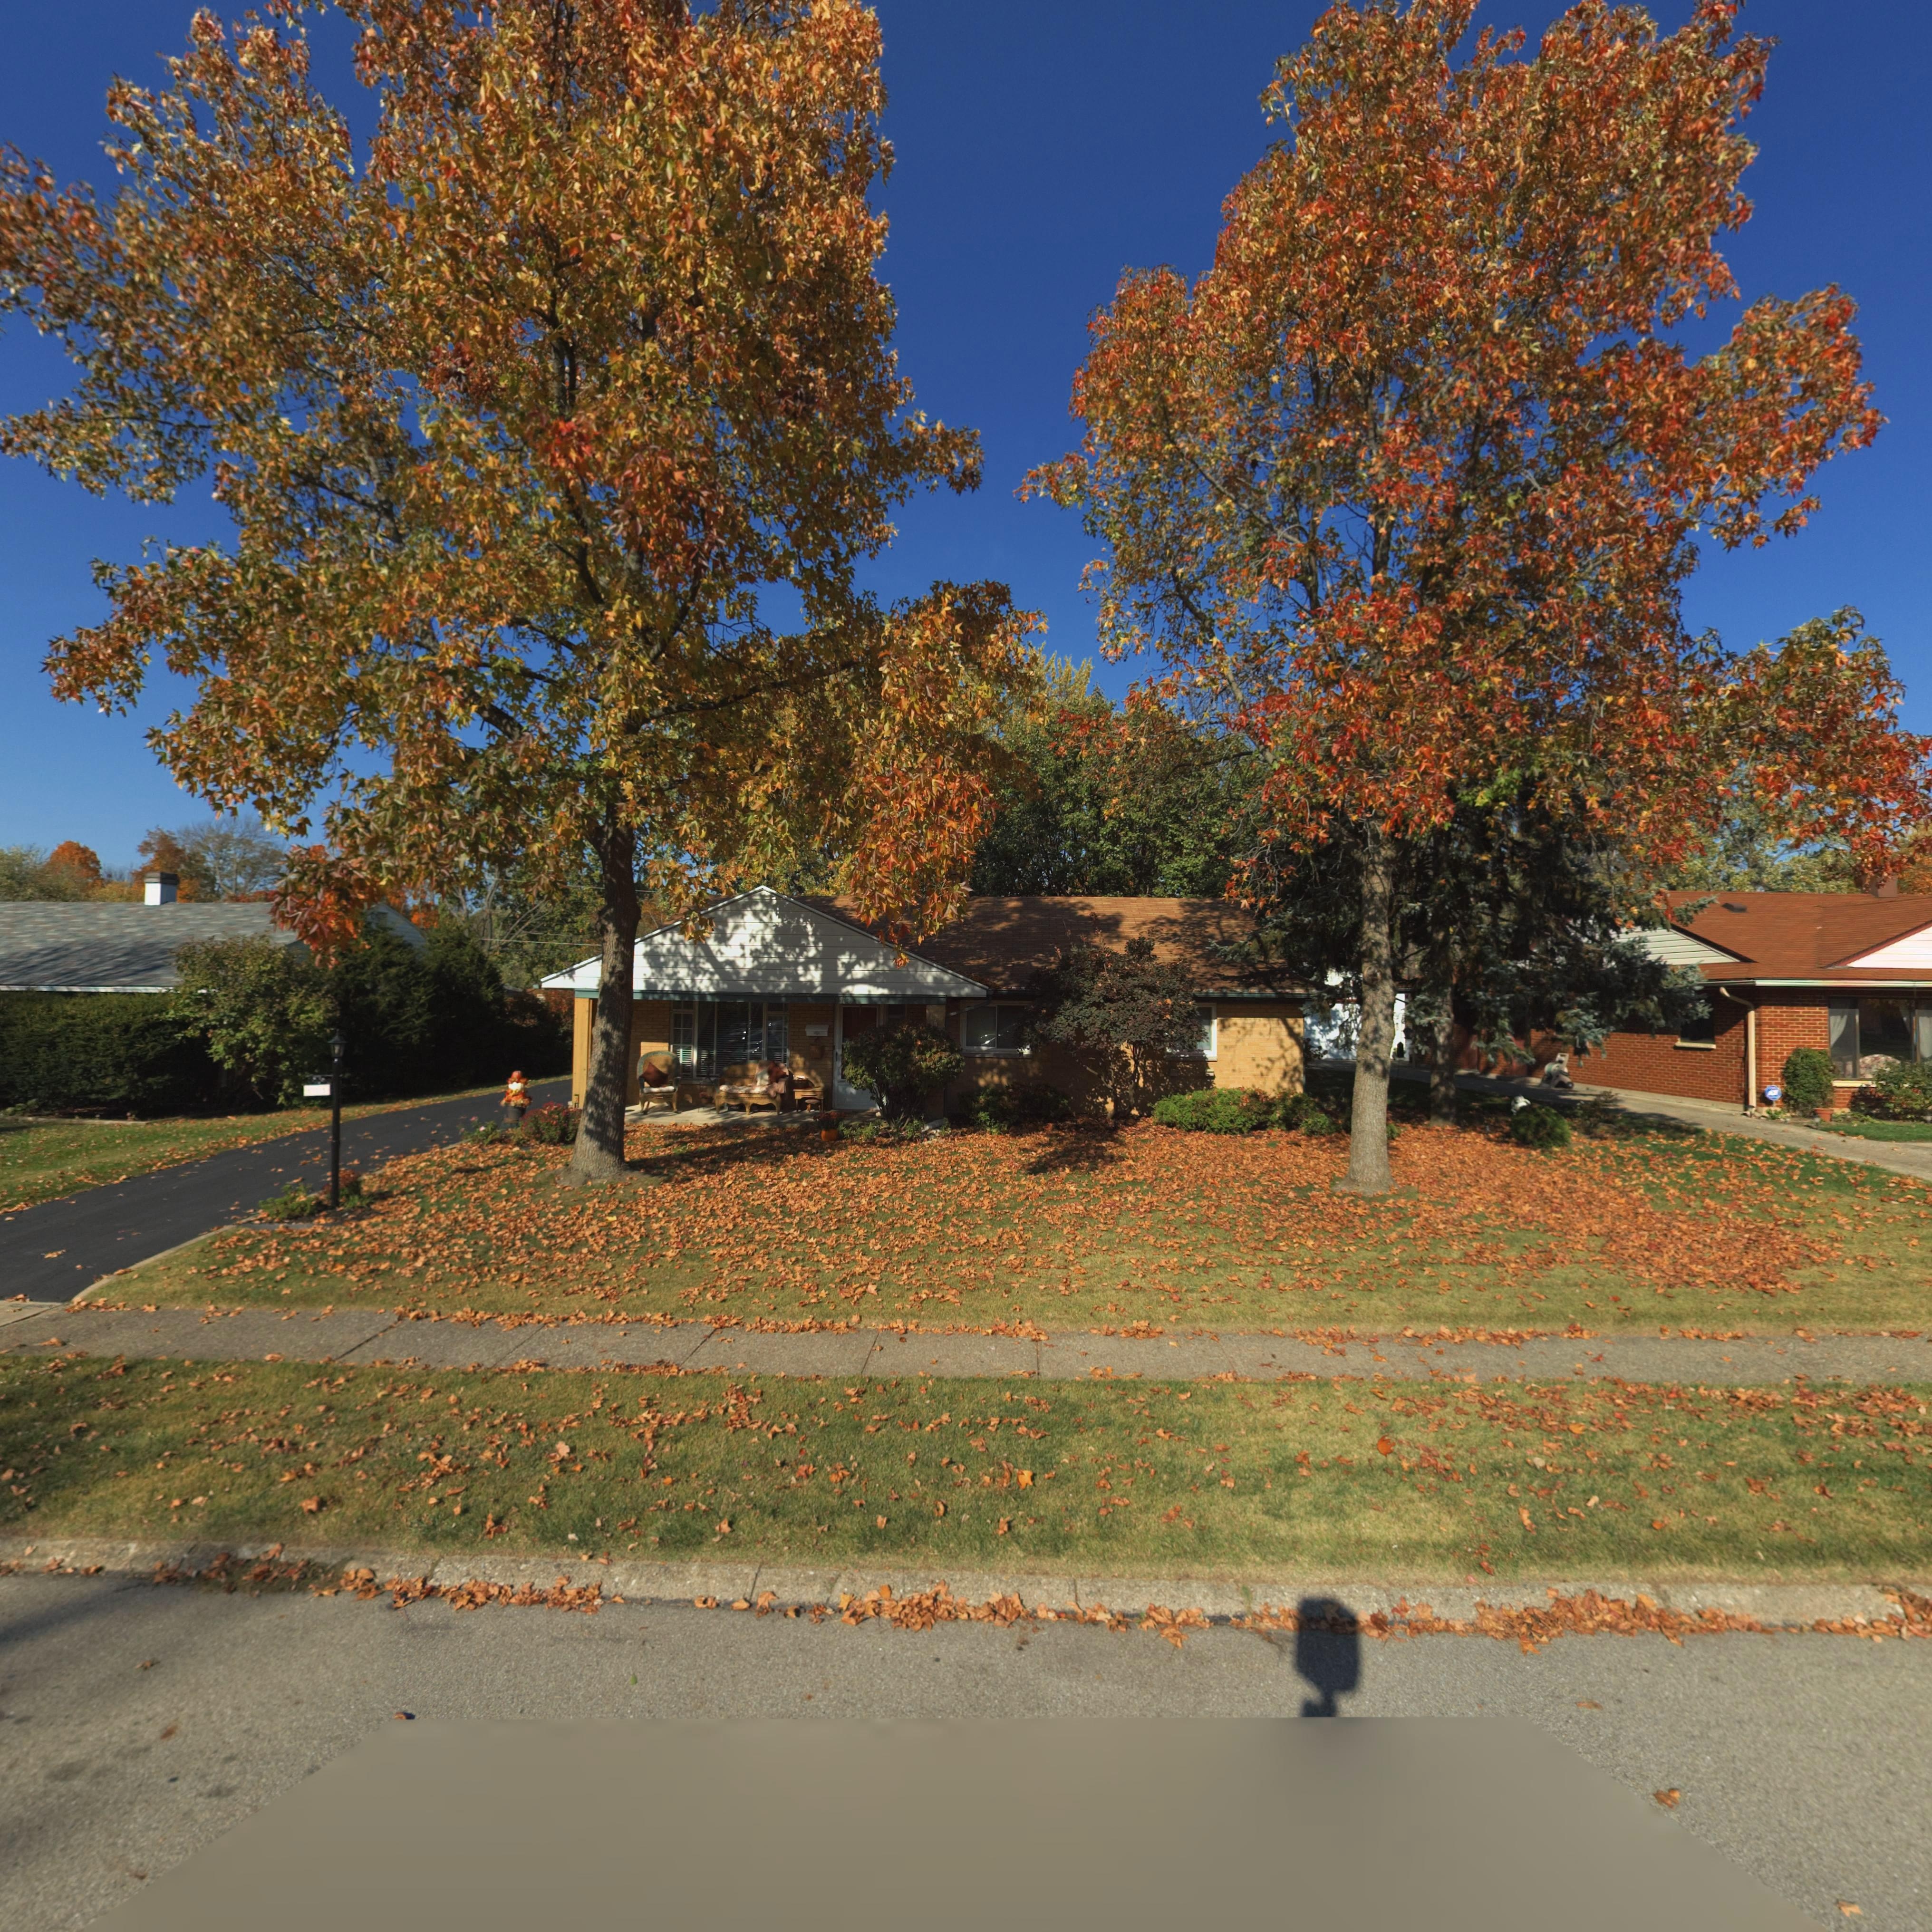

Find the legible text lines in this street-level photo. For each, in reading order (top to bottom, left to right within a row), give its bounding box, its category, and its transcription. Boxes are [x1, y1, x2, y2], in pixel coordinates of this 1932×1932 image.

[832, 996, 851, 1004] StreetNumber: *15
[1766, 1090, 1779, 1096] None: ADT